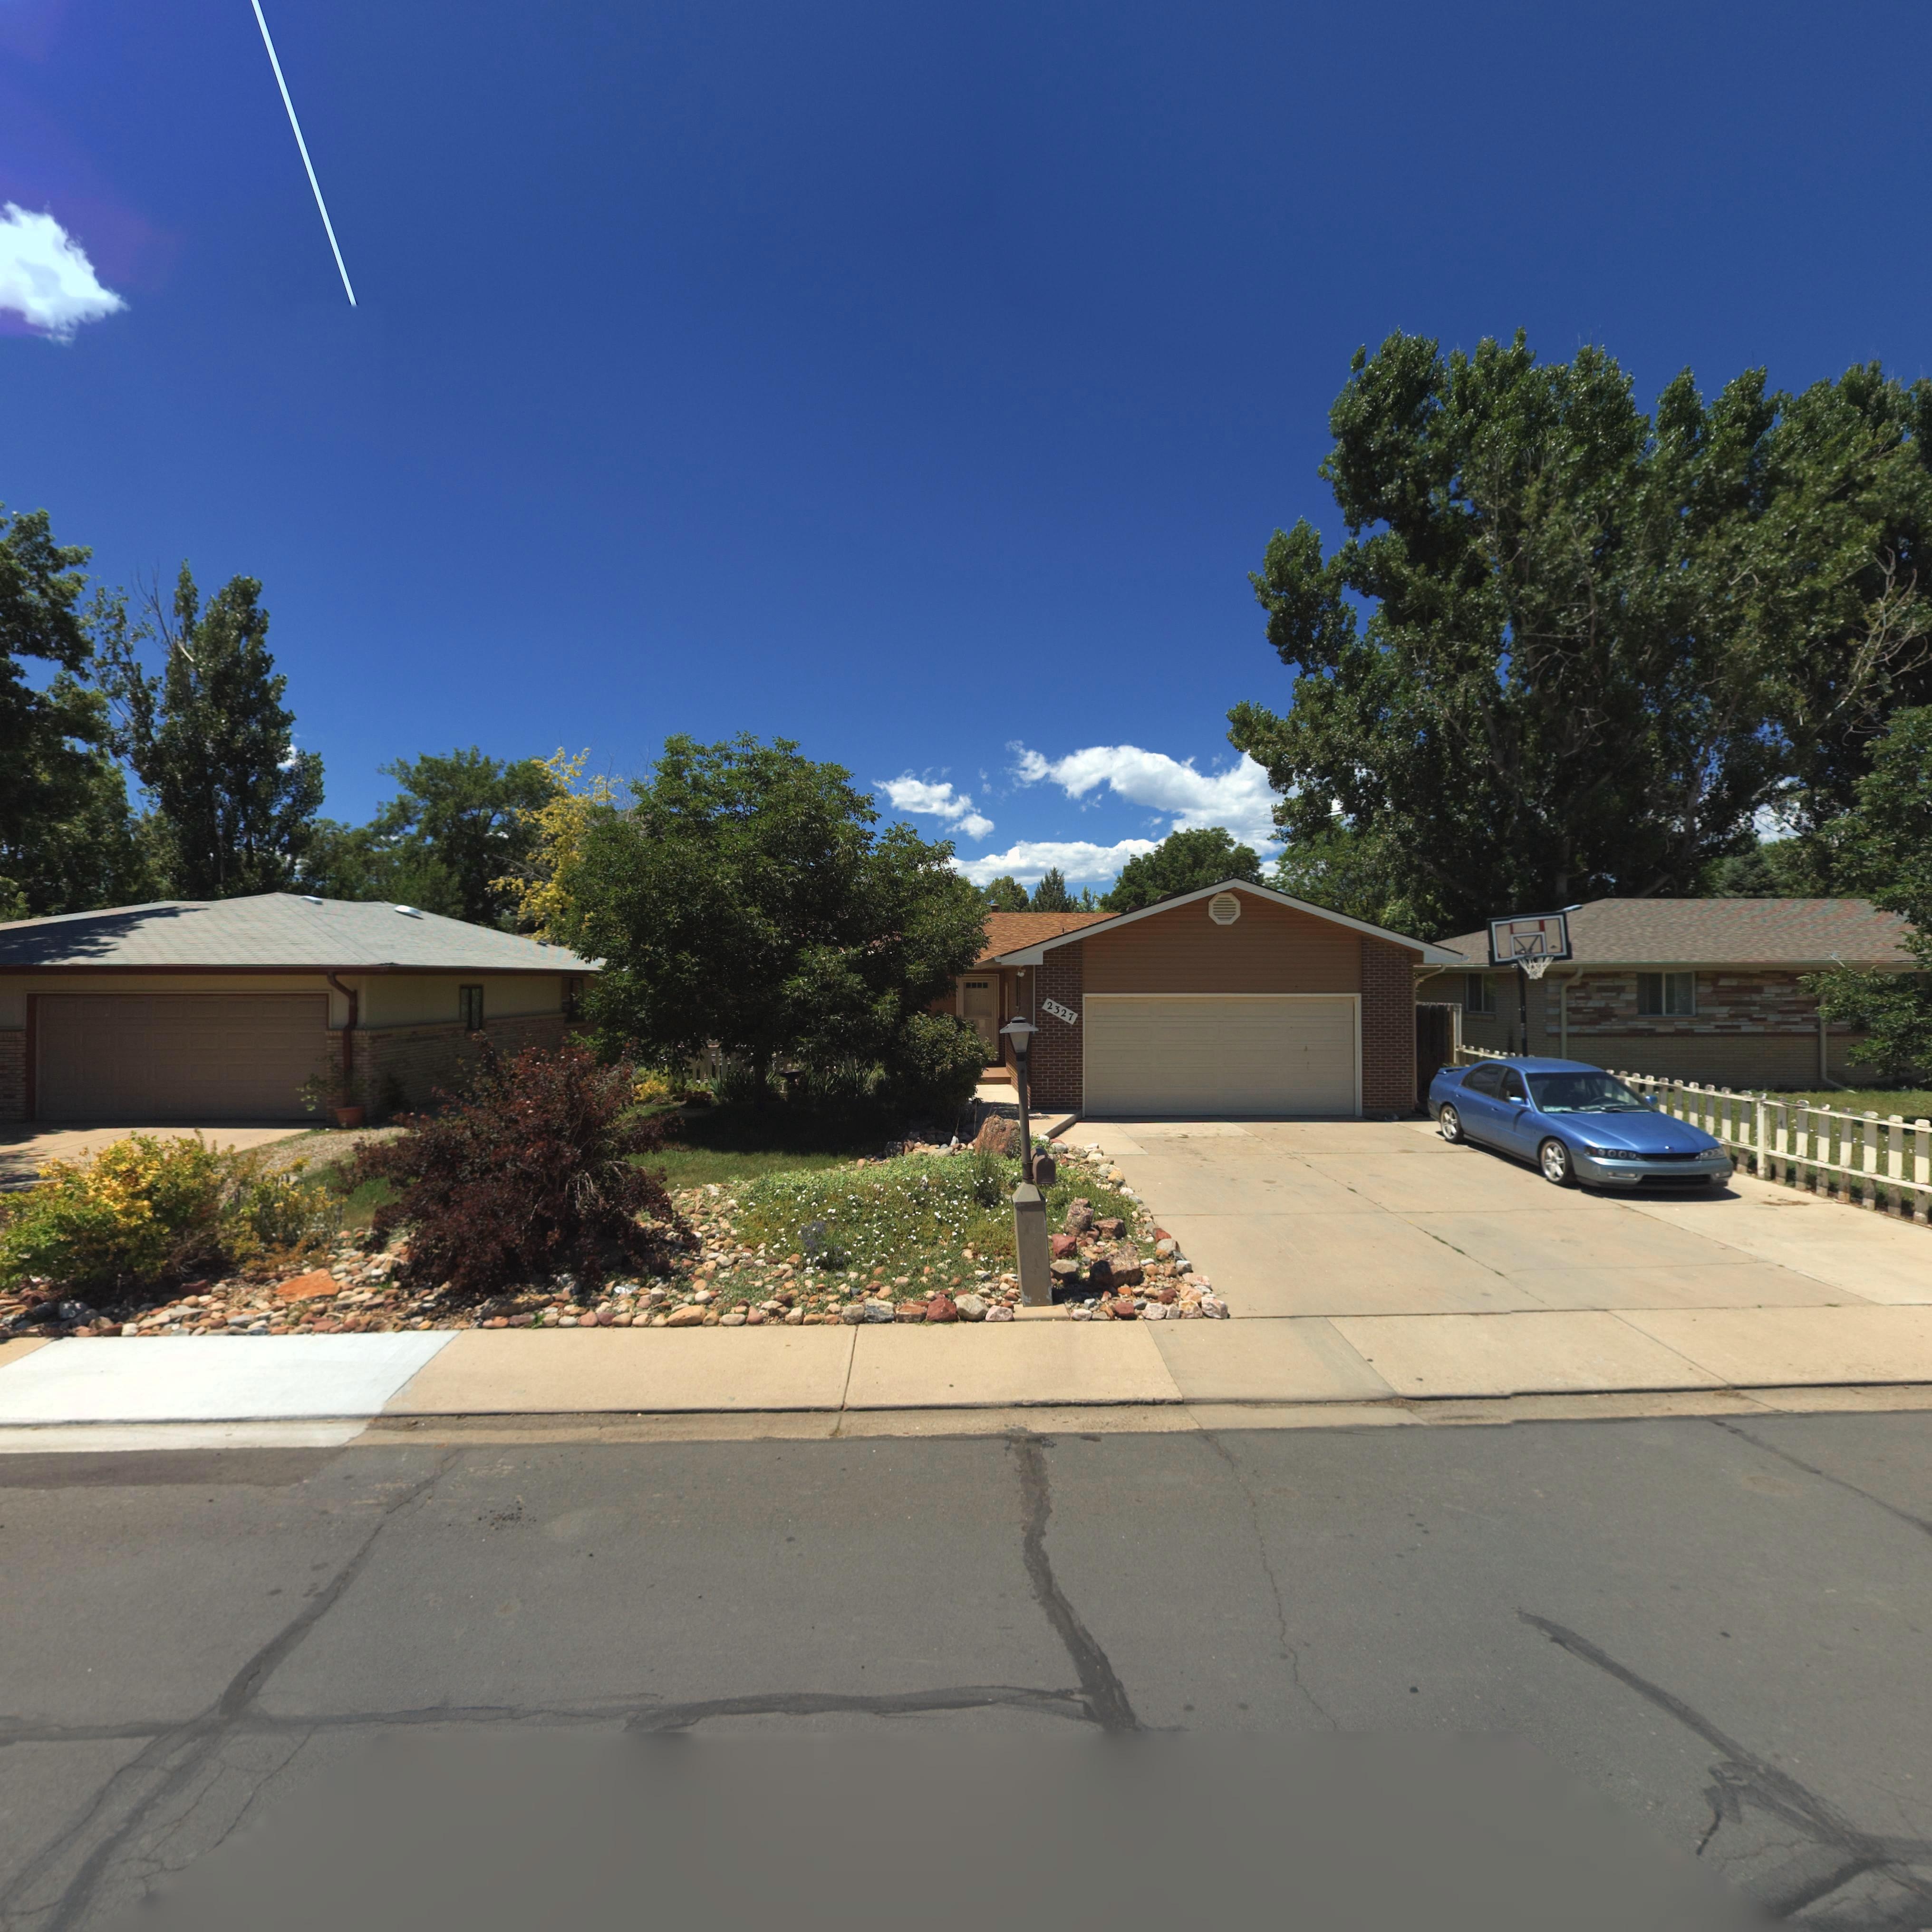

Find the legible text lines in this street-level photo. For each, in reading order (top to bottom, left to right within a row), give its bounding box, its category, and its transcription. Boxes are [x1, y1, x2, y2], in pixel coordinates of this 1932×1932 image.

[1047, 1001, 1074, 1020] StreetNumber: 2327